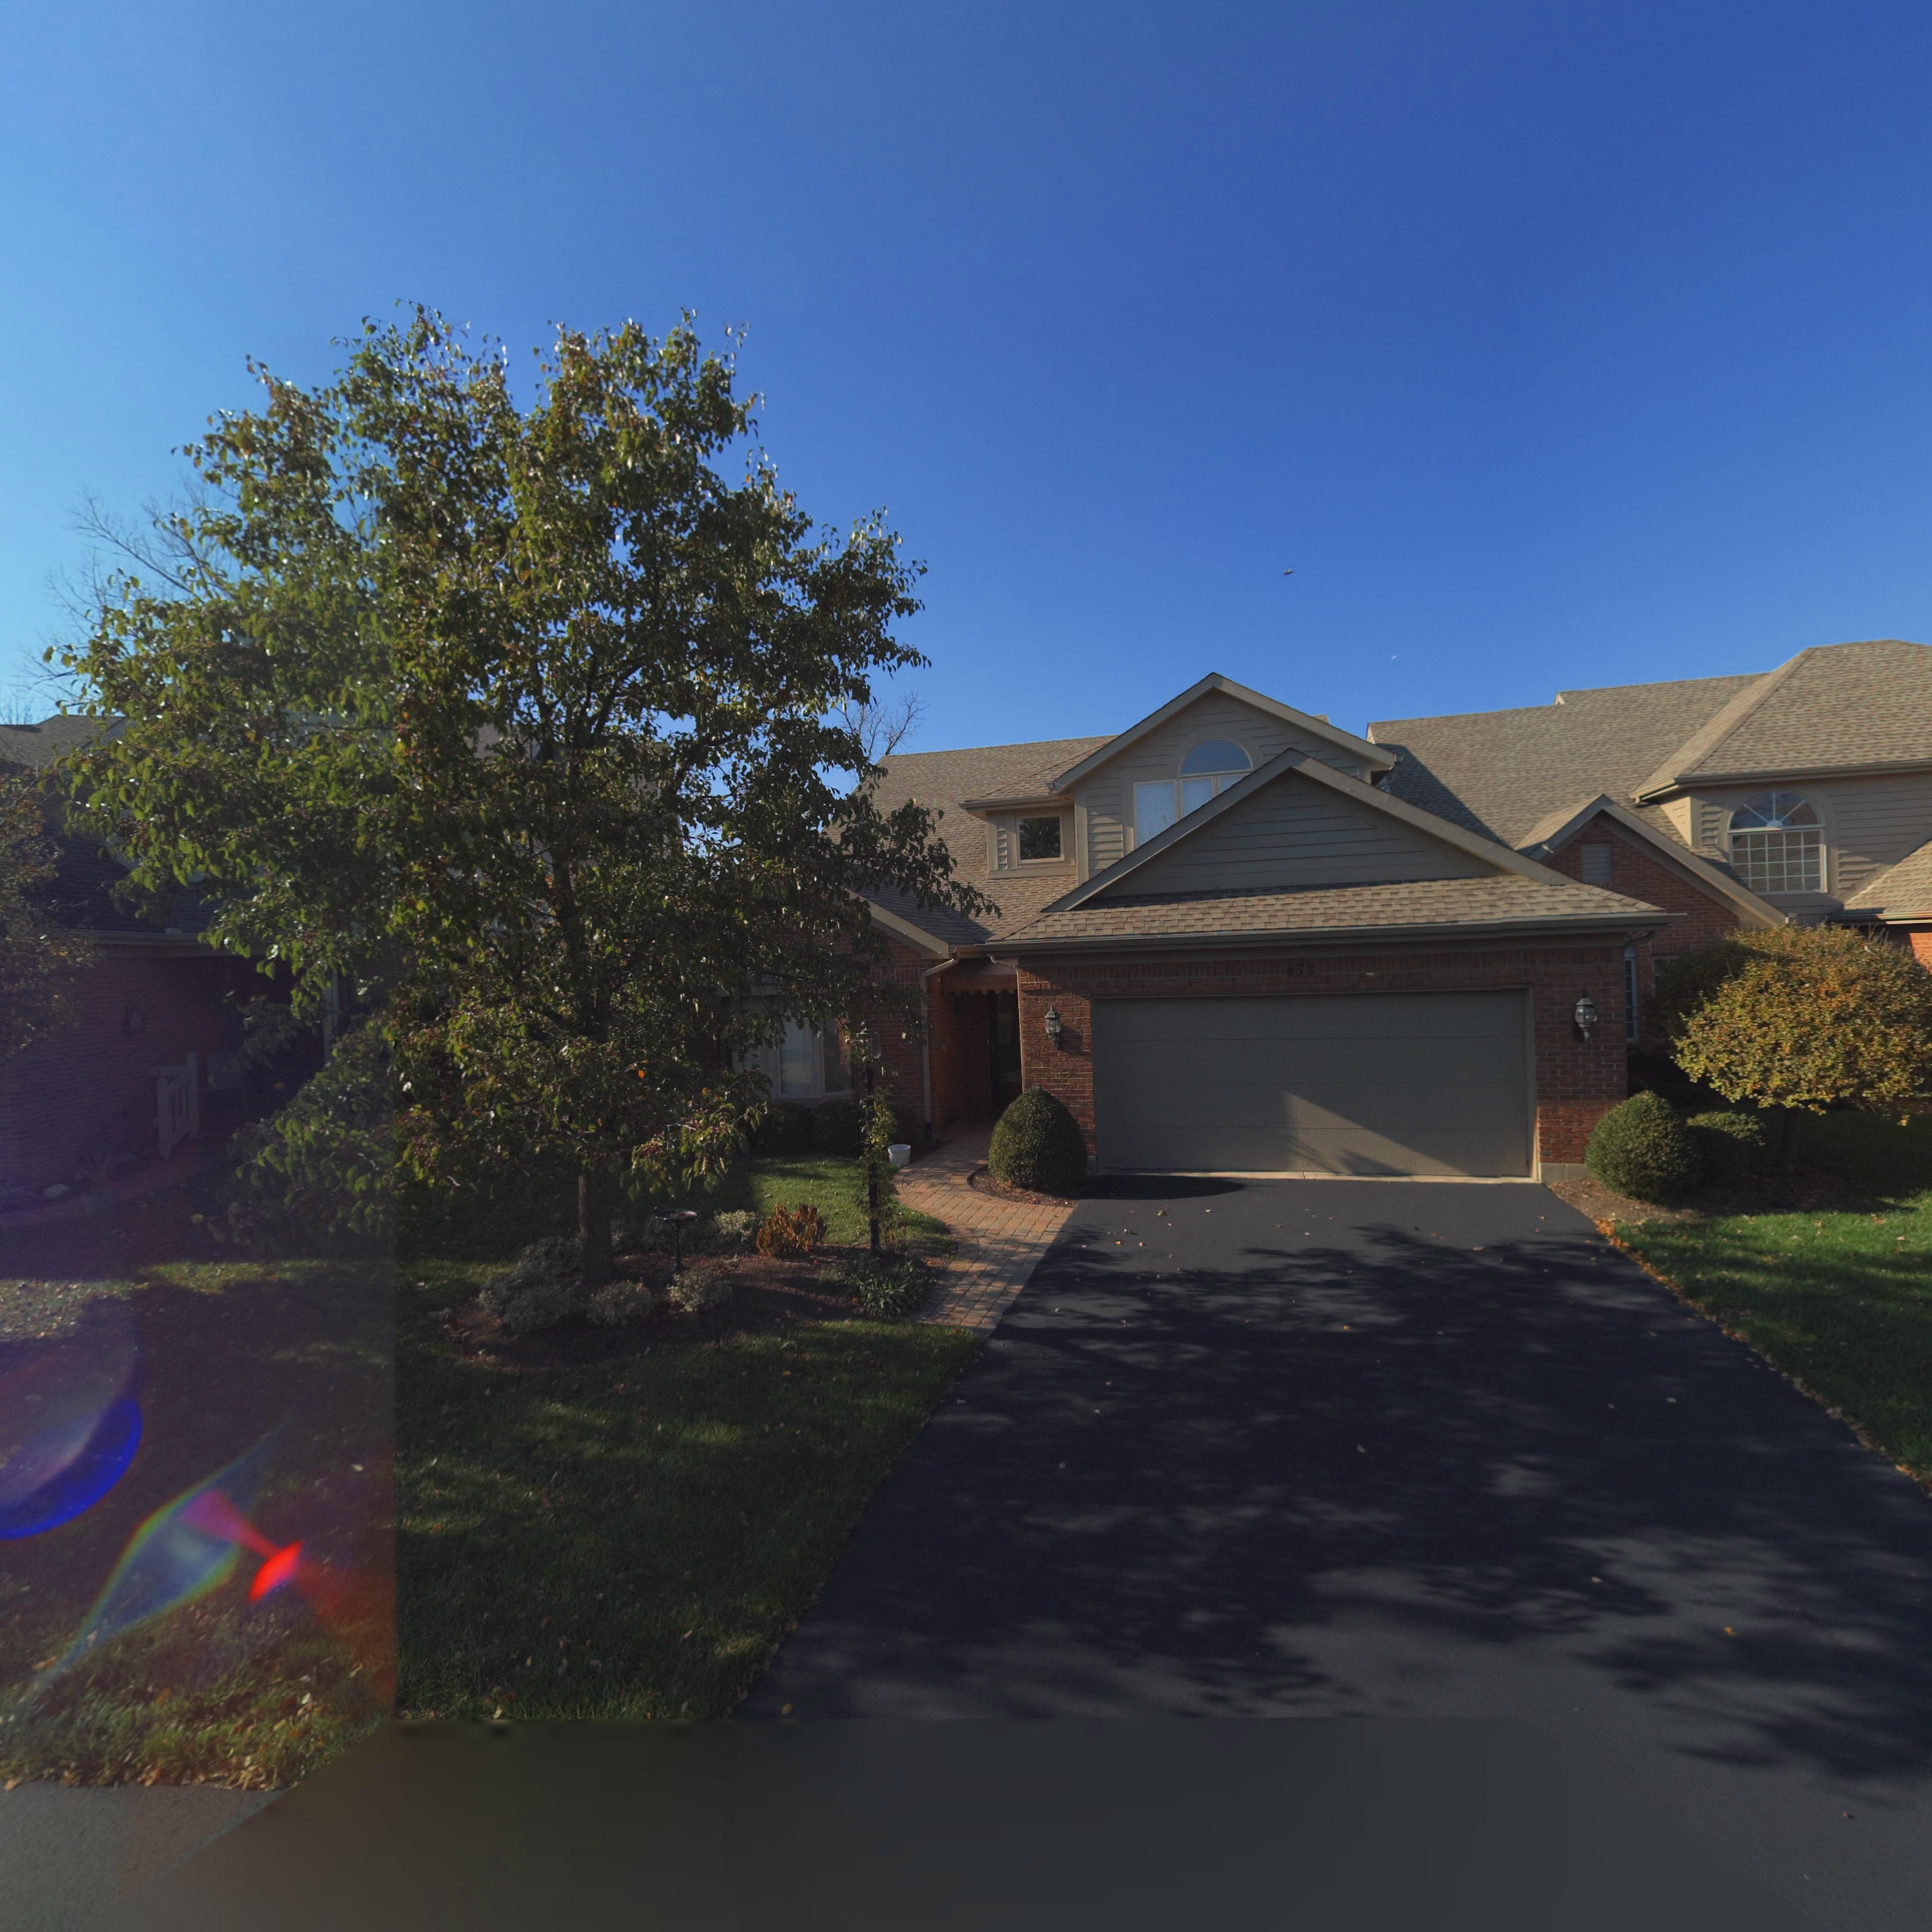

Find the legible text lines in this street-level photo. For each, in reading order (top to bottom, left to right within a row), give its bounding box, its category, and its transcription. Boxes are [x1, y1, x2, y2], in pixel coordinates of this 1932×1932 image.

[1285, 962, 1316, 978] StreetNumber: 853